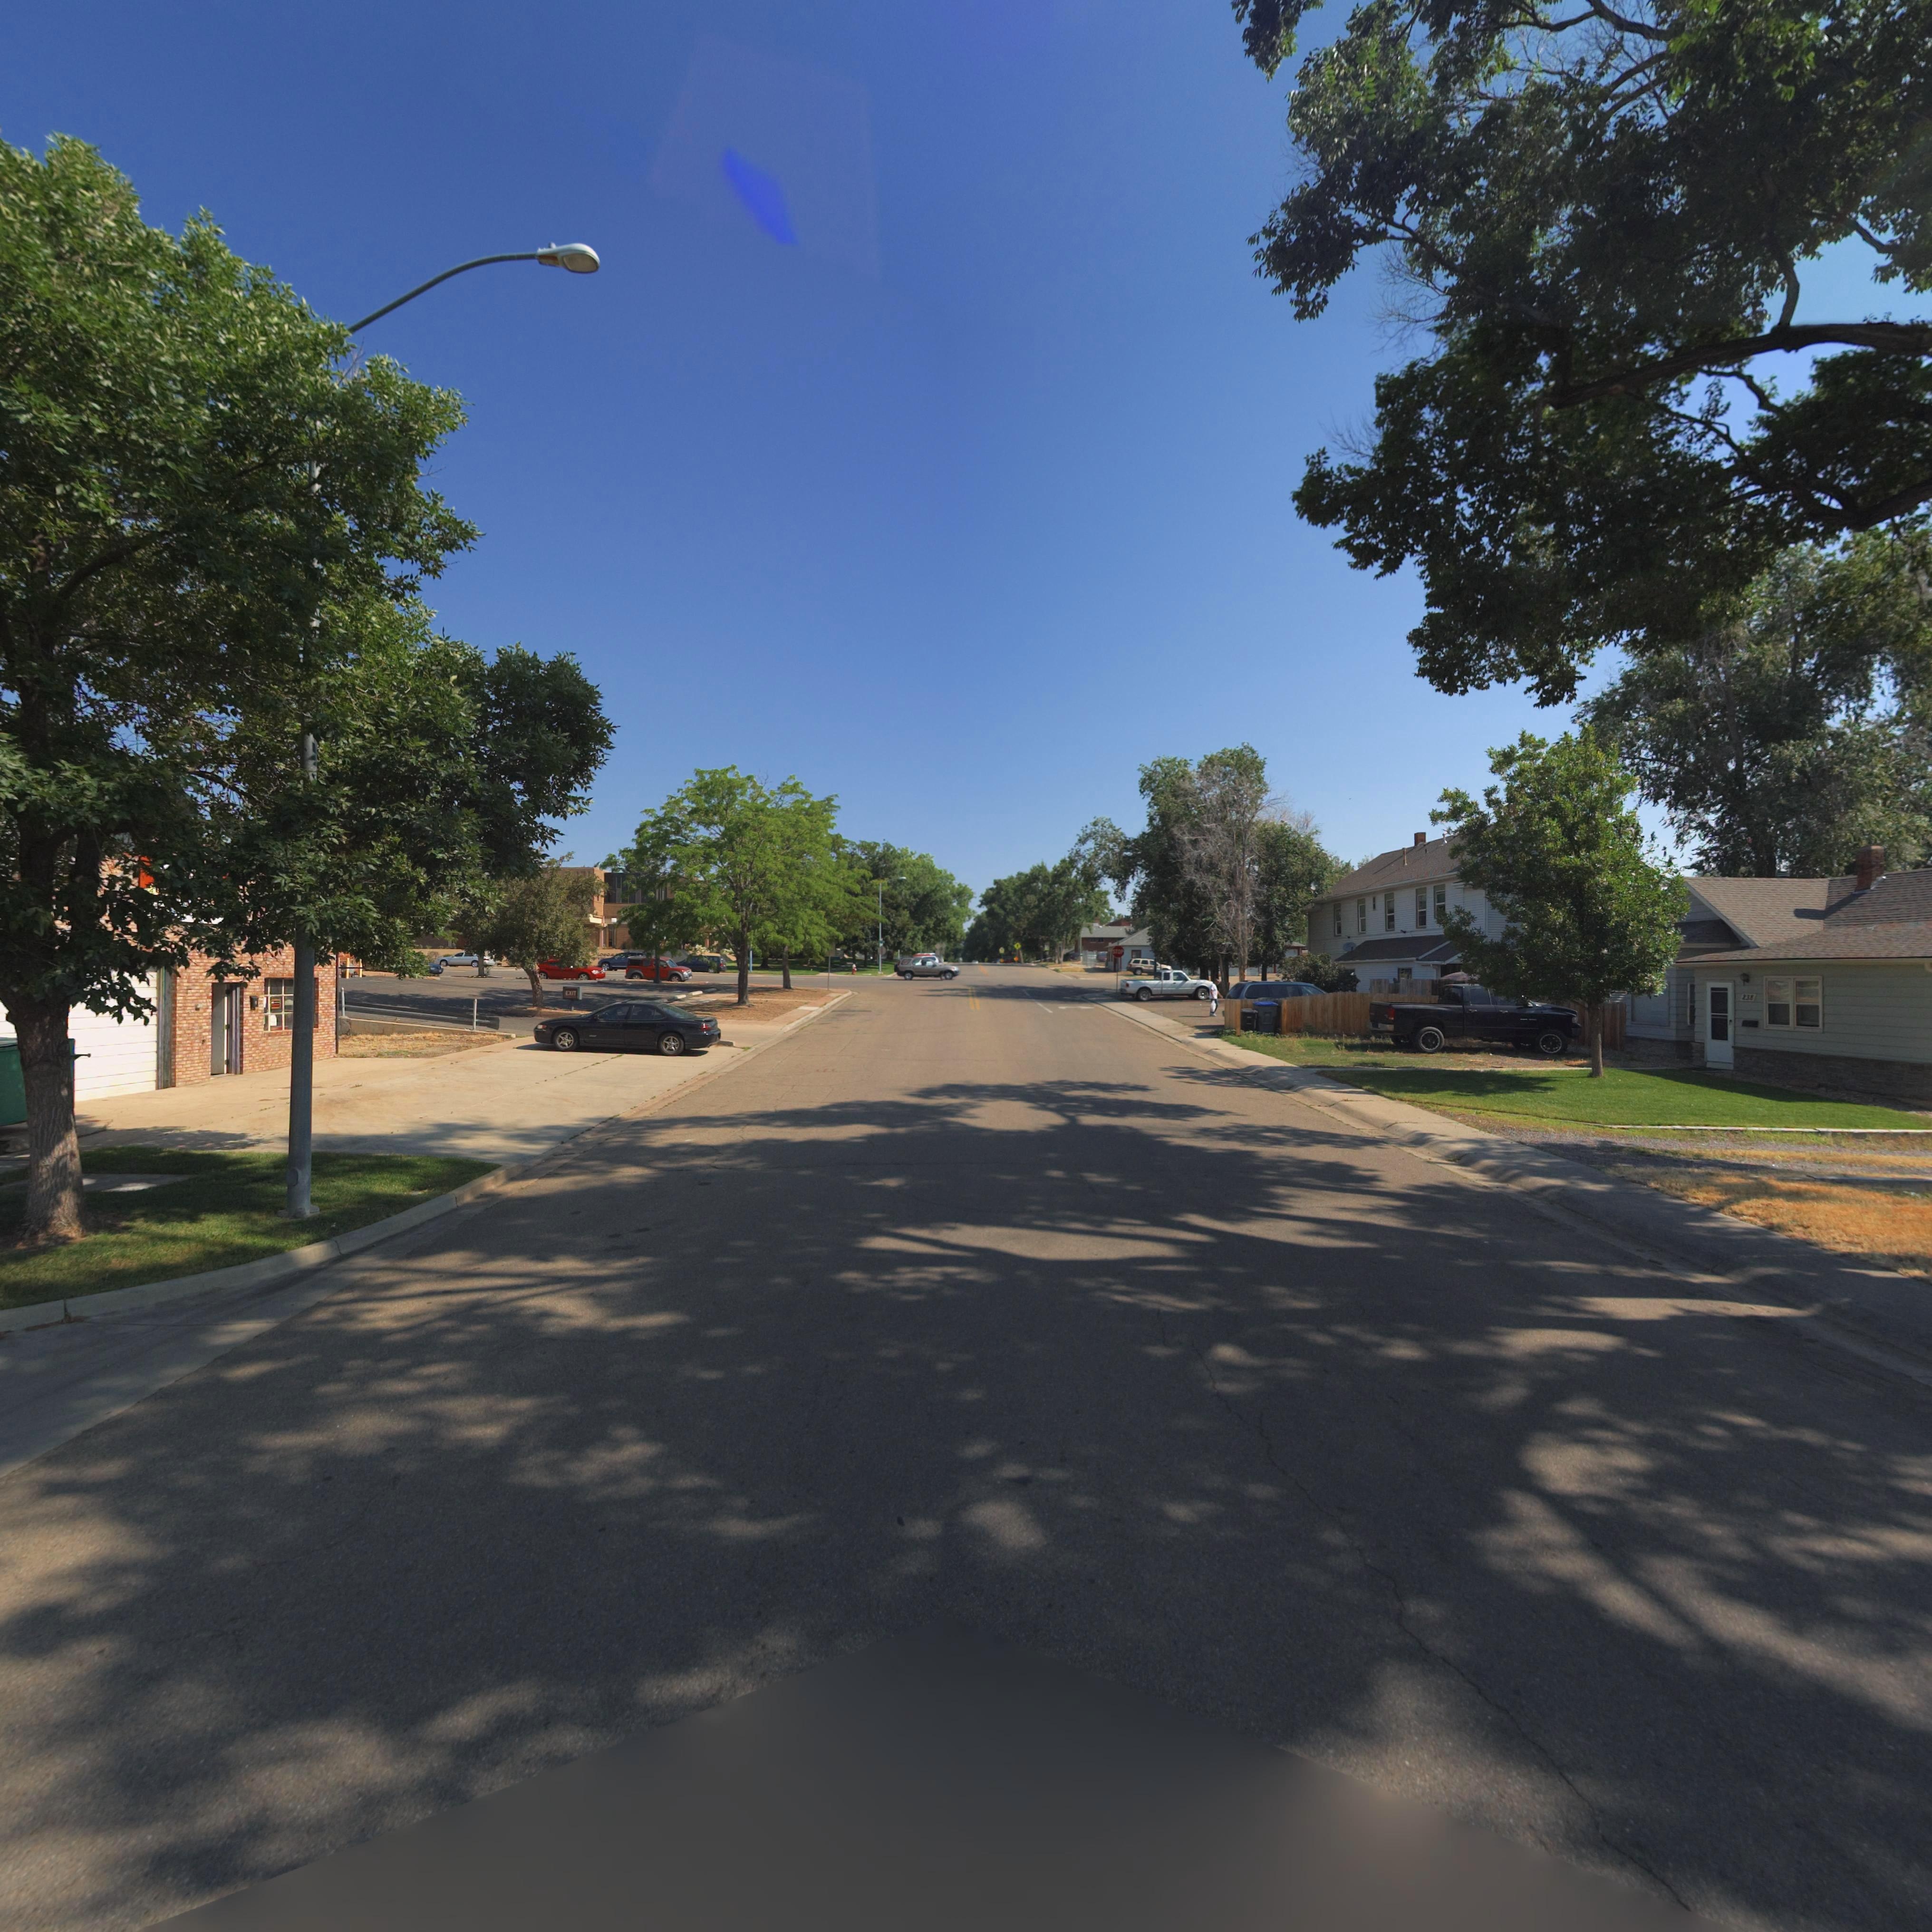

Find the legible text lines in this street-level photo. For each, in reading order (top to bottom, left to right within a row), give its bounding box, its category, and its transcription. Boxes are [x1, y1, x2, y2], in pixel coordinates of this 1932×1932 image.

[1741, 994, 1754, 1000] StreetNumber: 238